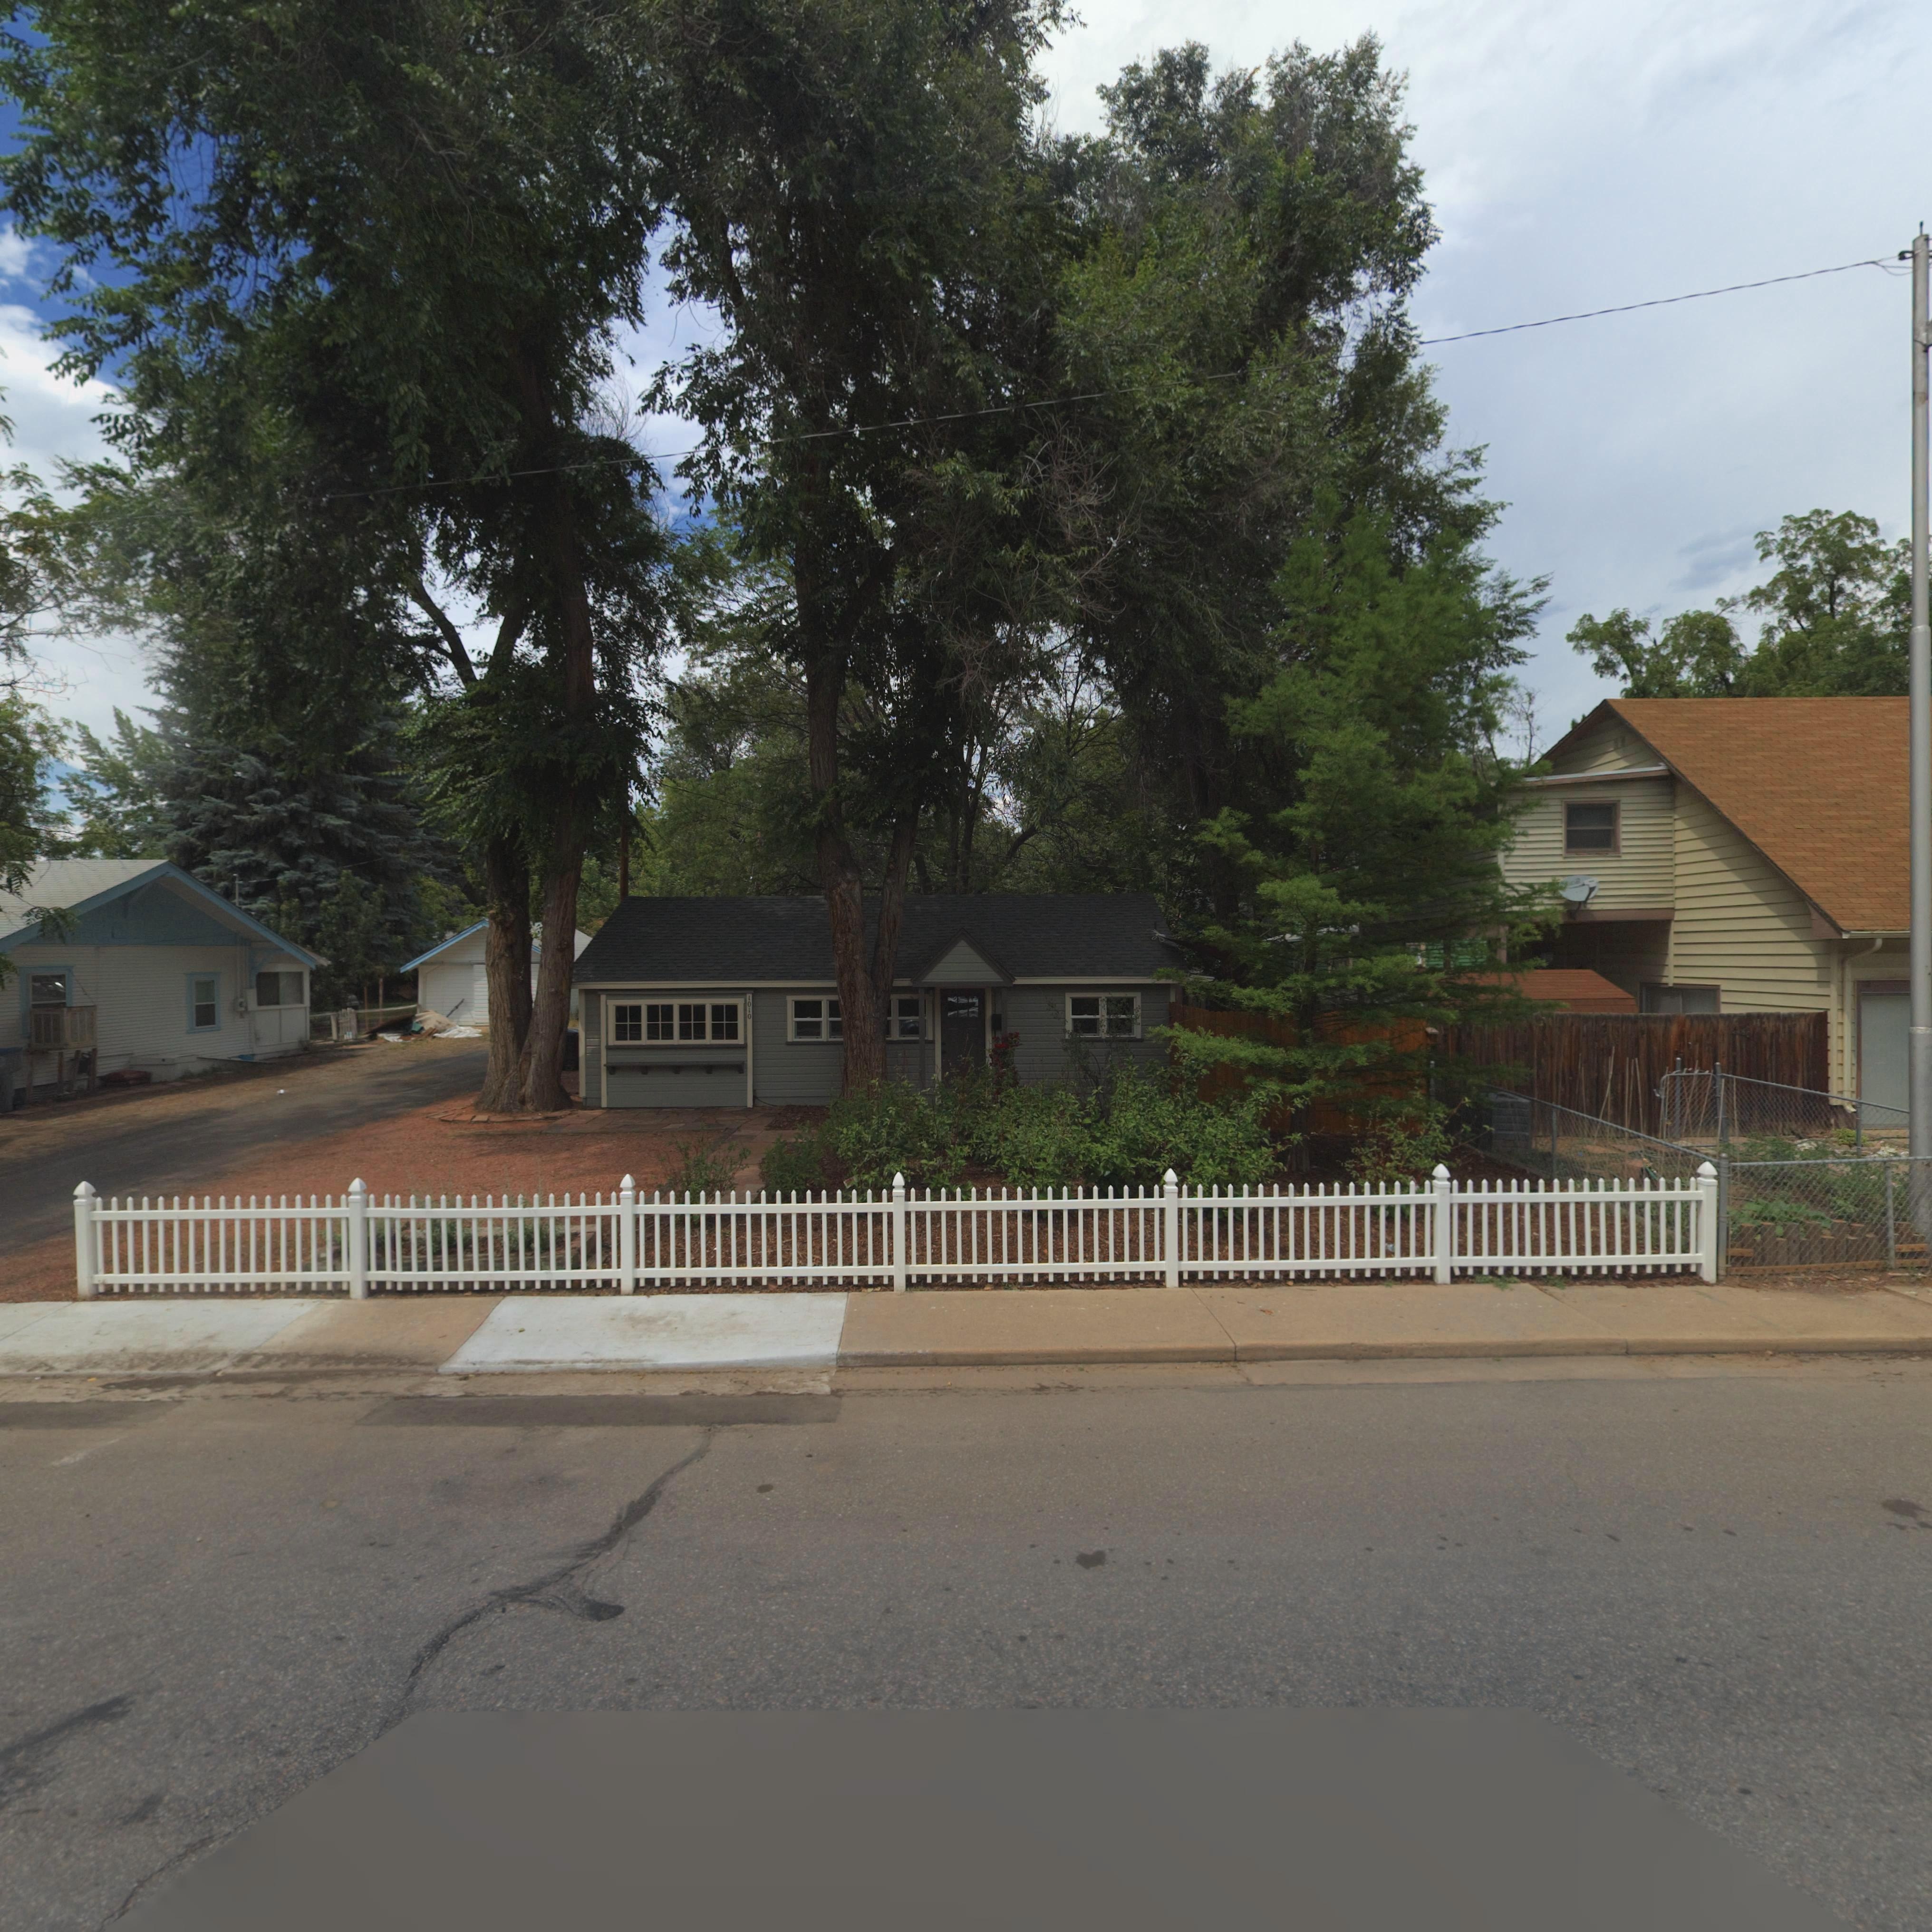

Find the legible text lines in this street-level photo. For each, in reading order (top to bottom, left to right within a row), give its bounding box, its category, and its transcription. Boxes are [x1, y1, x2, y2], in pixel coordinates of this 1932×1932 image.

[747, 995, 751, 1019] StreetNumber: 1010